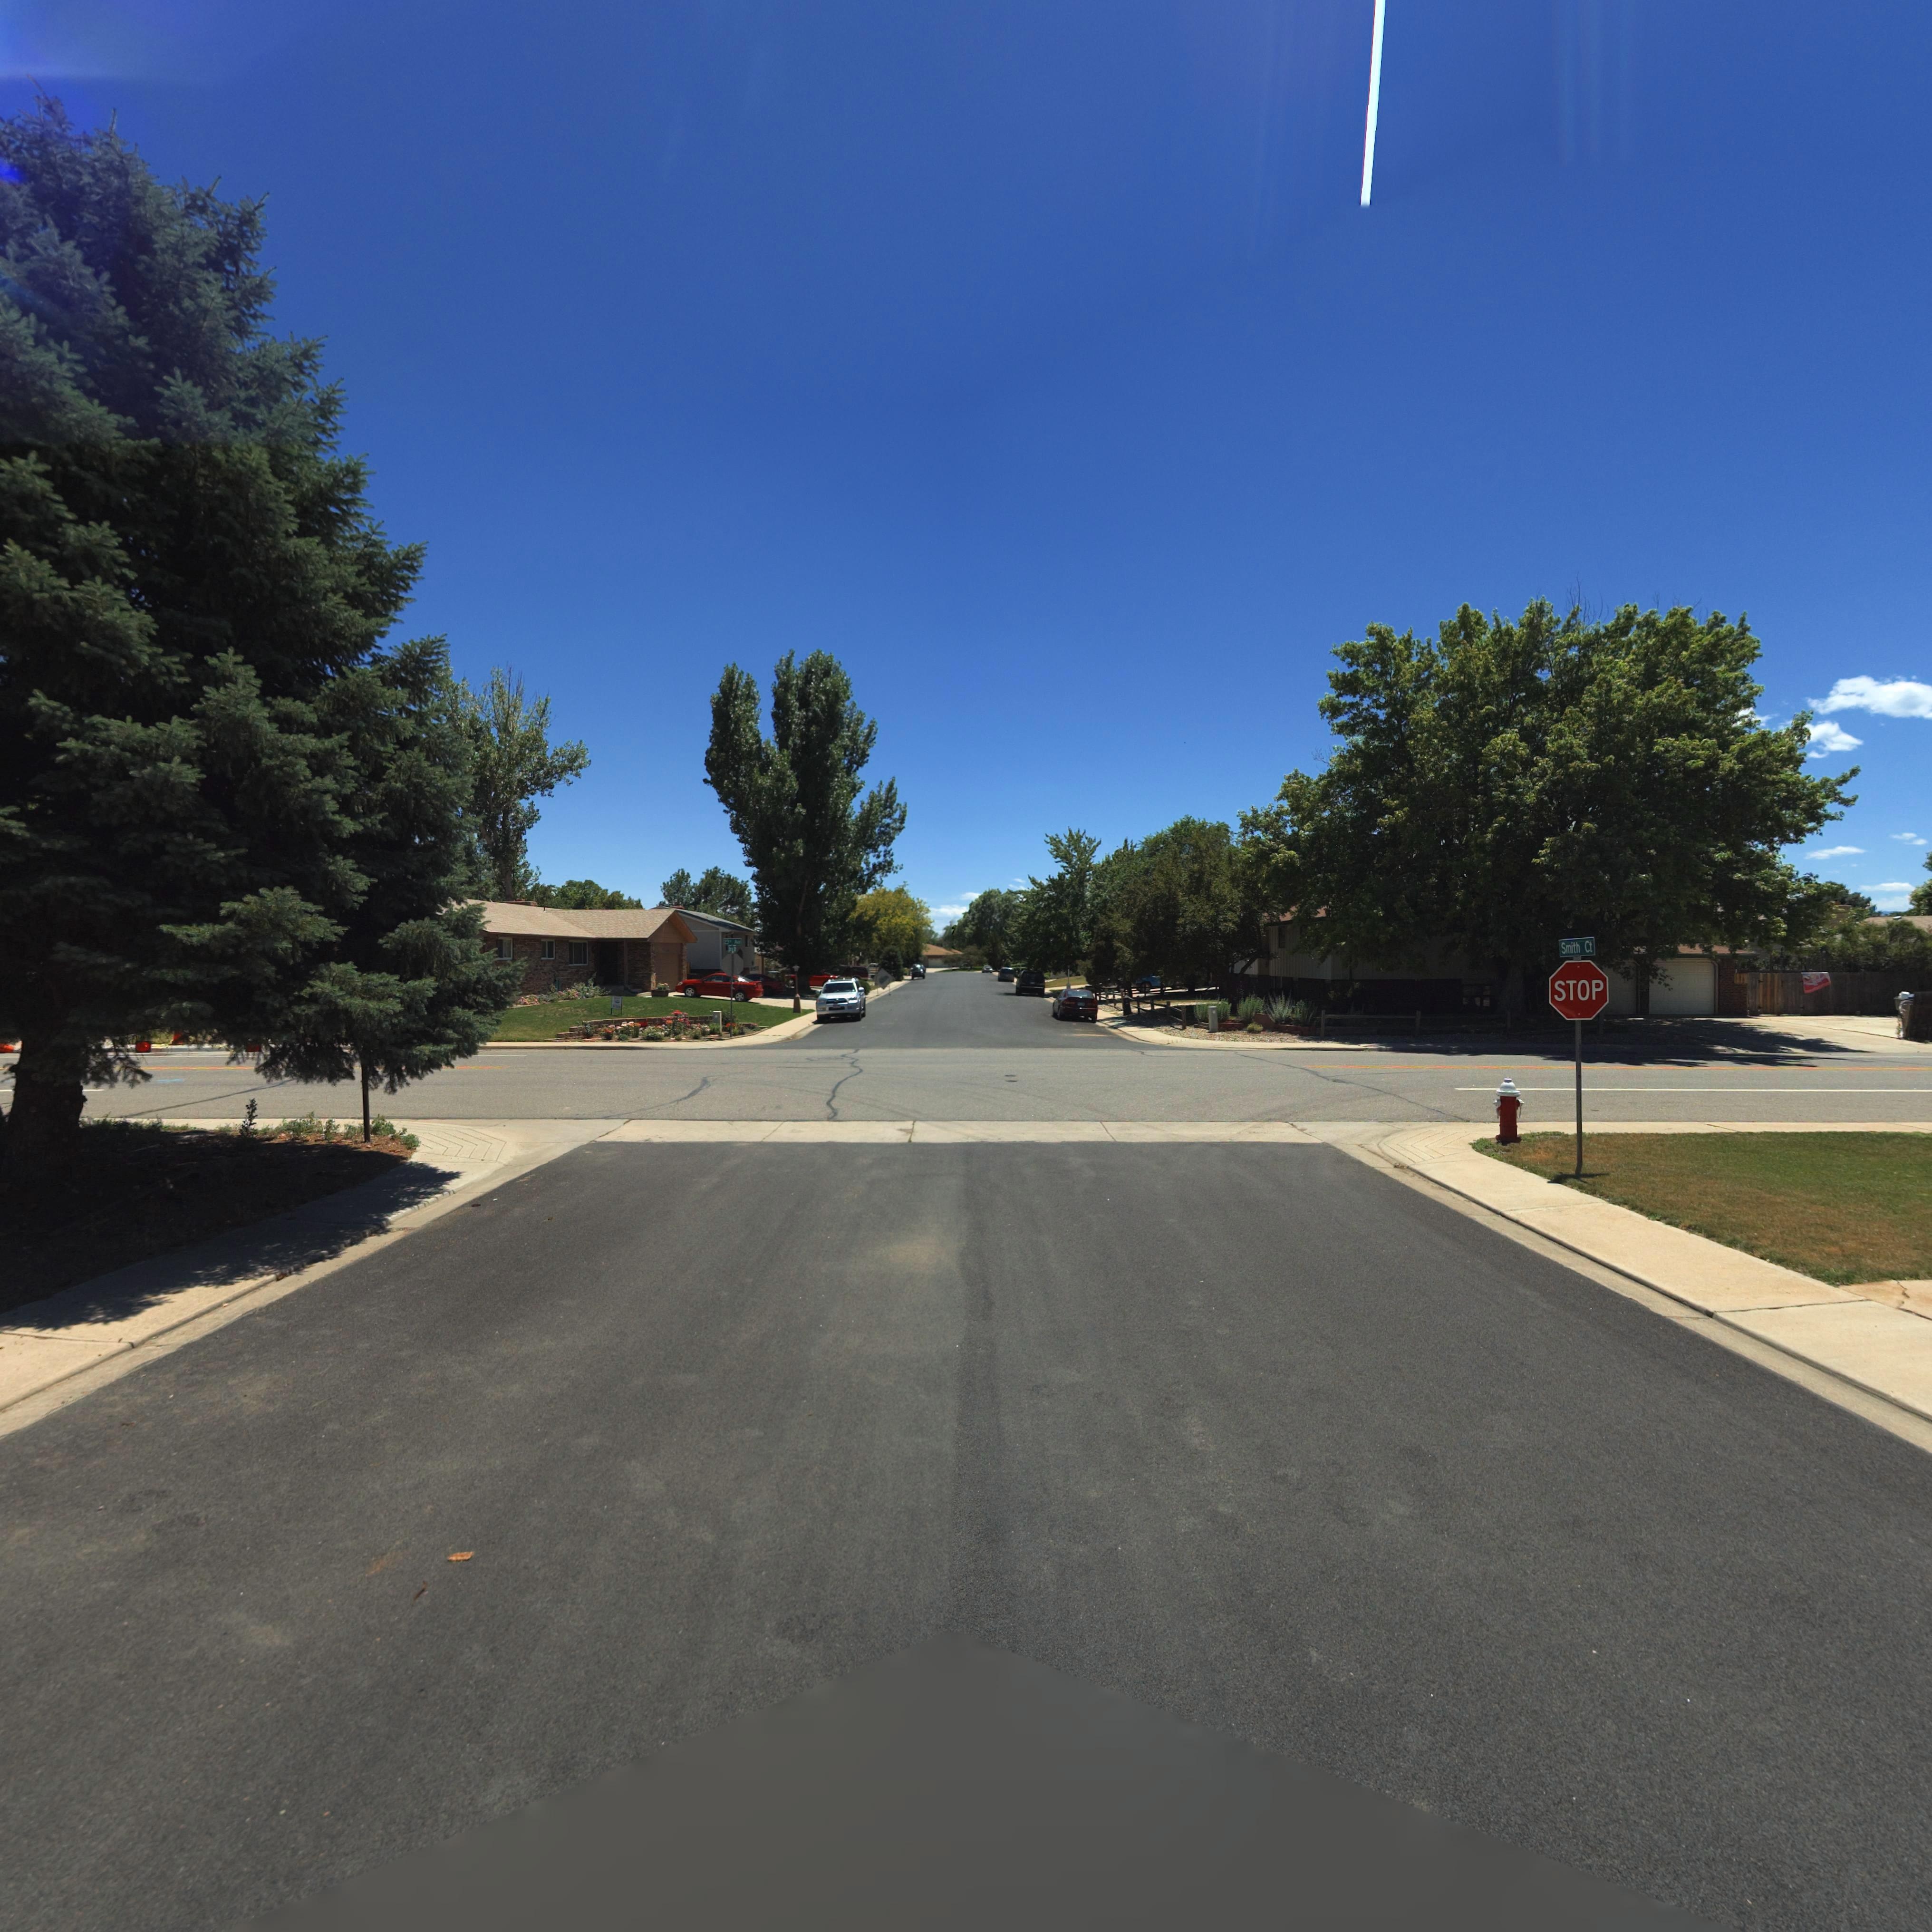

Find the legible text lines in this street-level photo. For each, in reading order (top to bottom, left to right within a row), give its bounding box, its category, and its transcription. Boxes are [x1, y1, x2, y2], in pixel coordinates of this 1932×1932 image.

[724, 939, 741, 945] StreetName: 23rd Ave
[728, 946, 736, 951] StreetName: Smith Dr
[1561, 940, 1593, 954] StreetName: Smith Ct